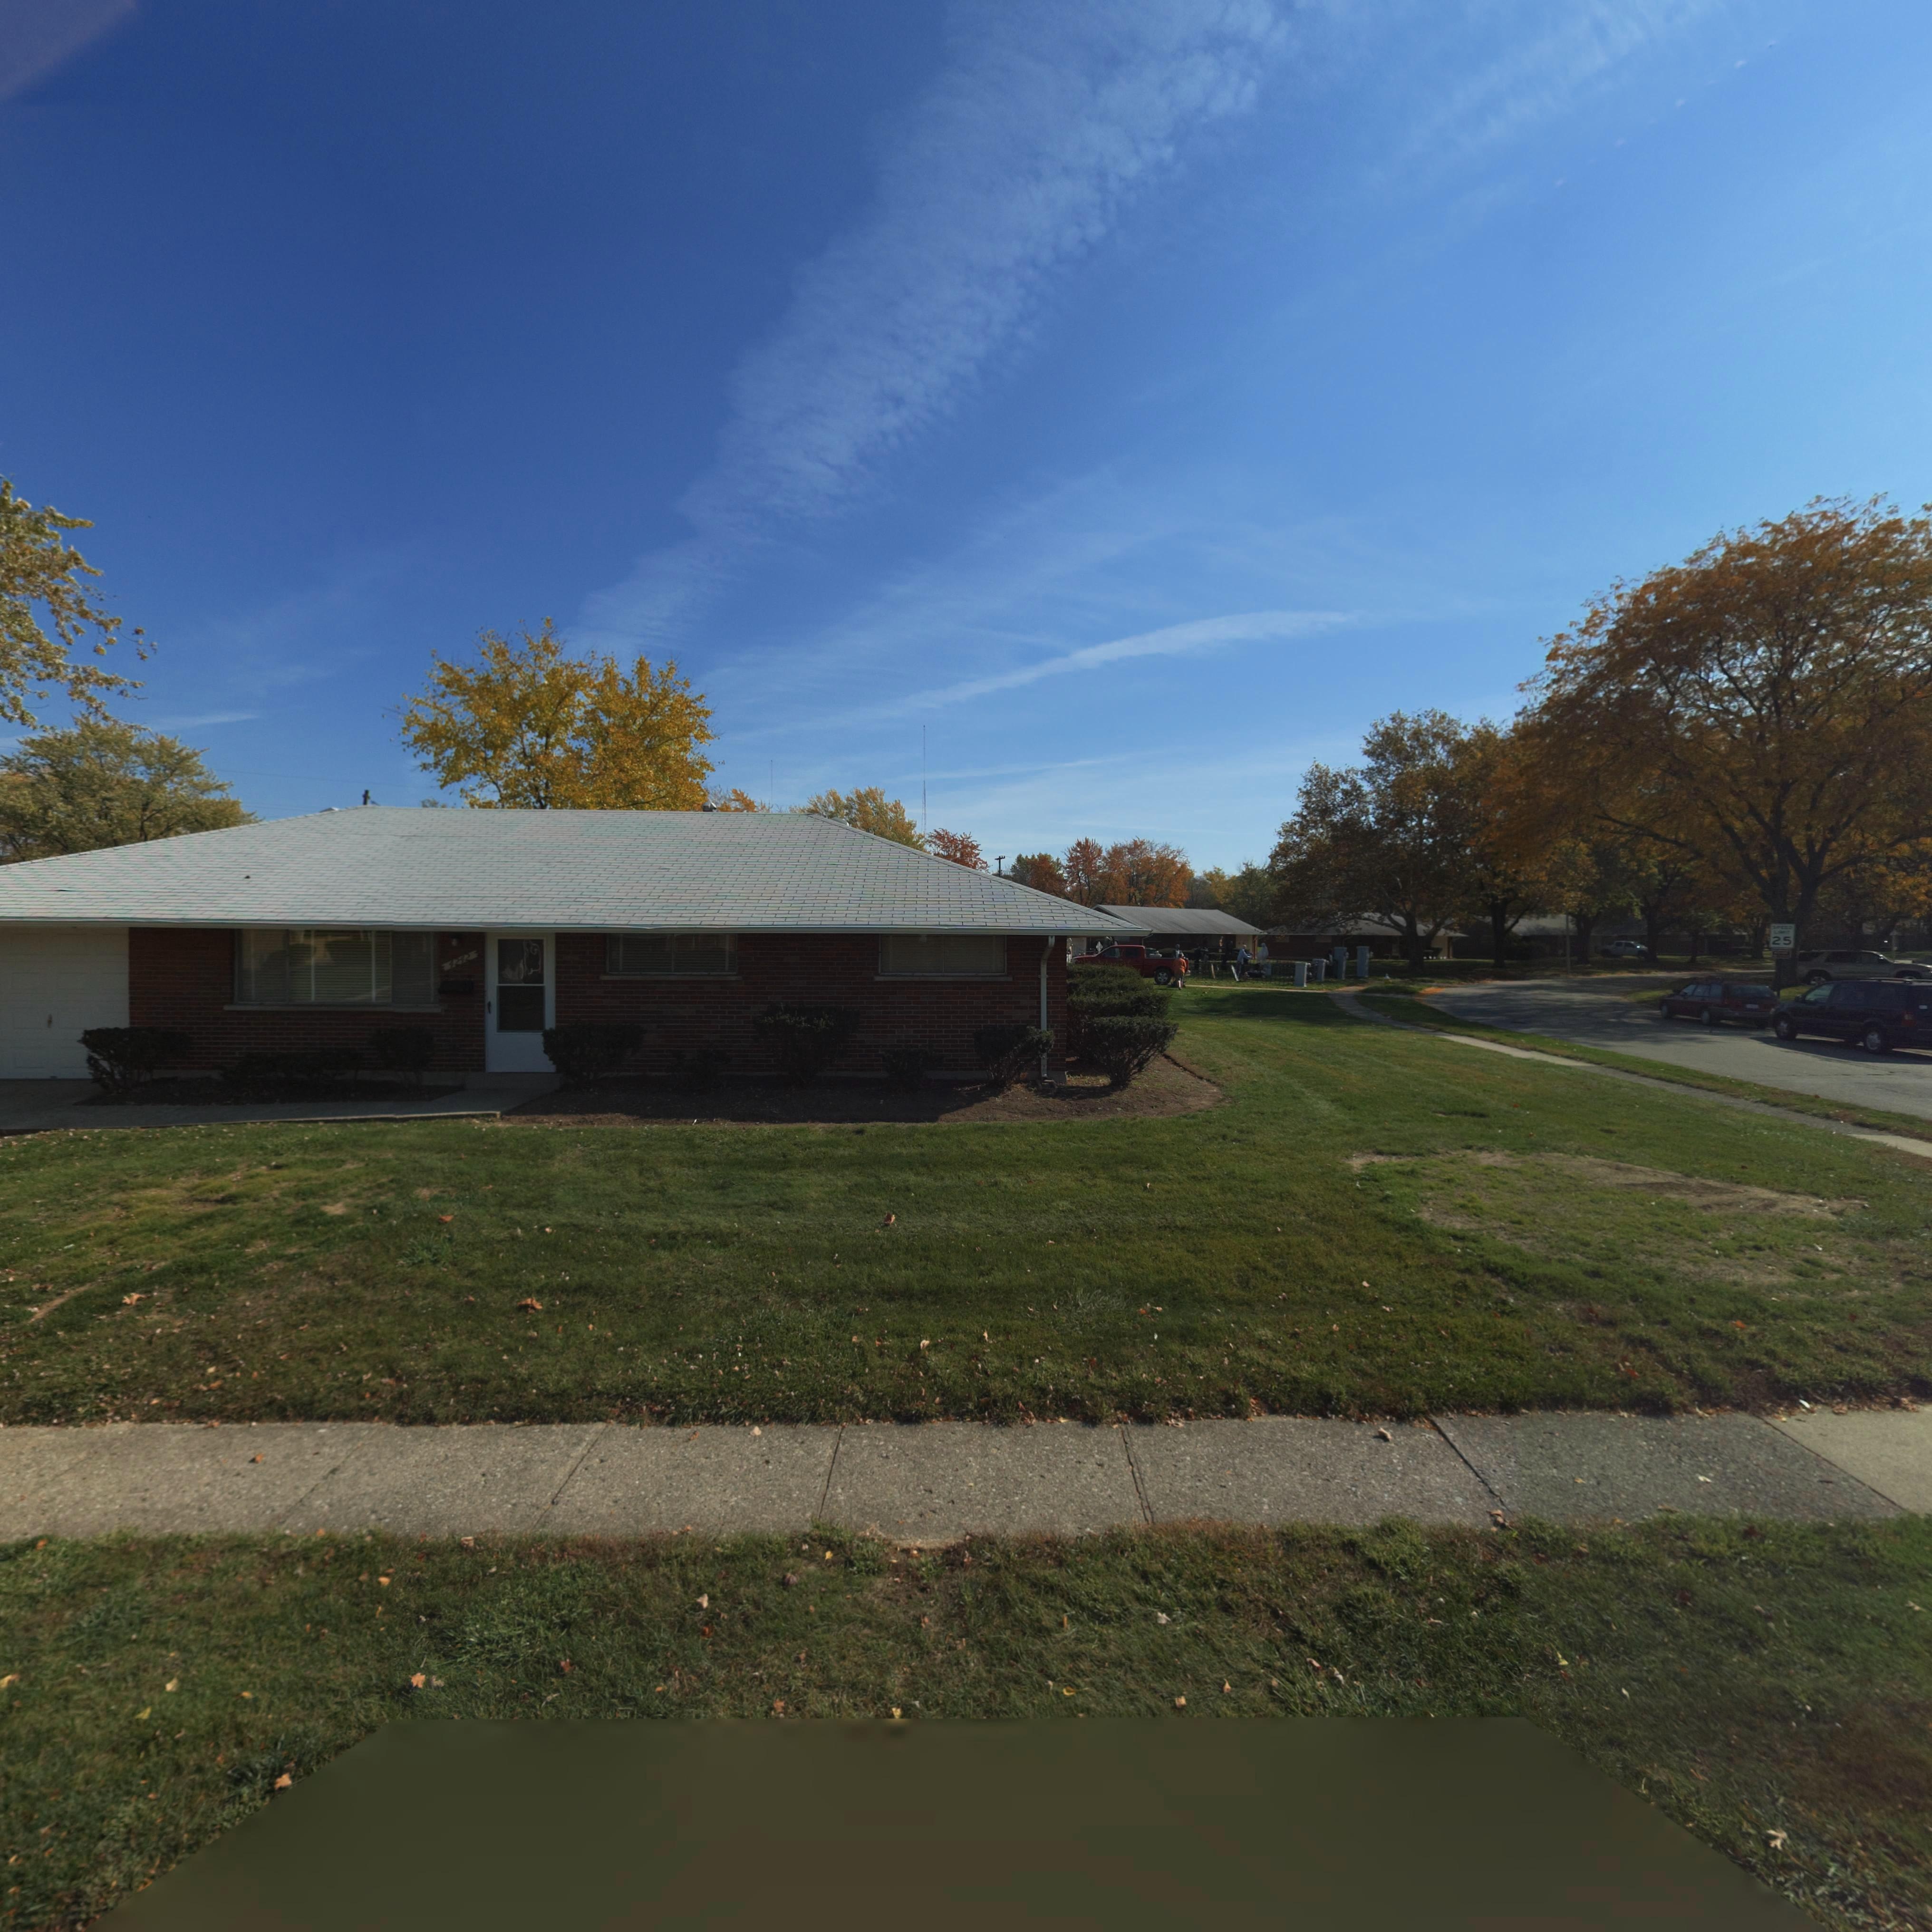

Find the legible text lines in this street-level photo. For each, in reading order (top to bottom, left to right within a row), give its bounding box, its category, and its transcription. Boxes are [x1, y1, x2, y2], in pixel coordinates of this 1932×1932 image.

[446, 951, 472, 970] StreetNumber: 4242